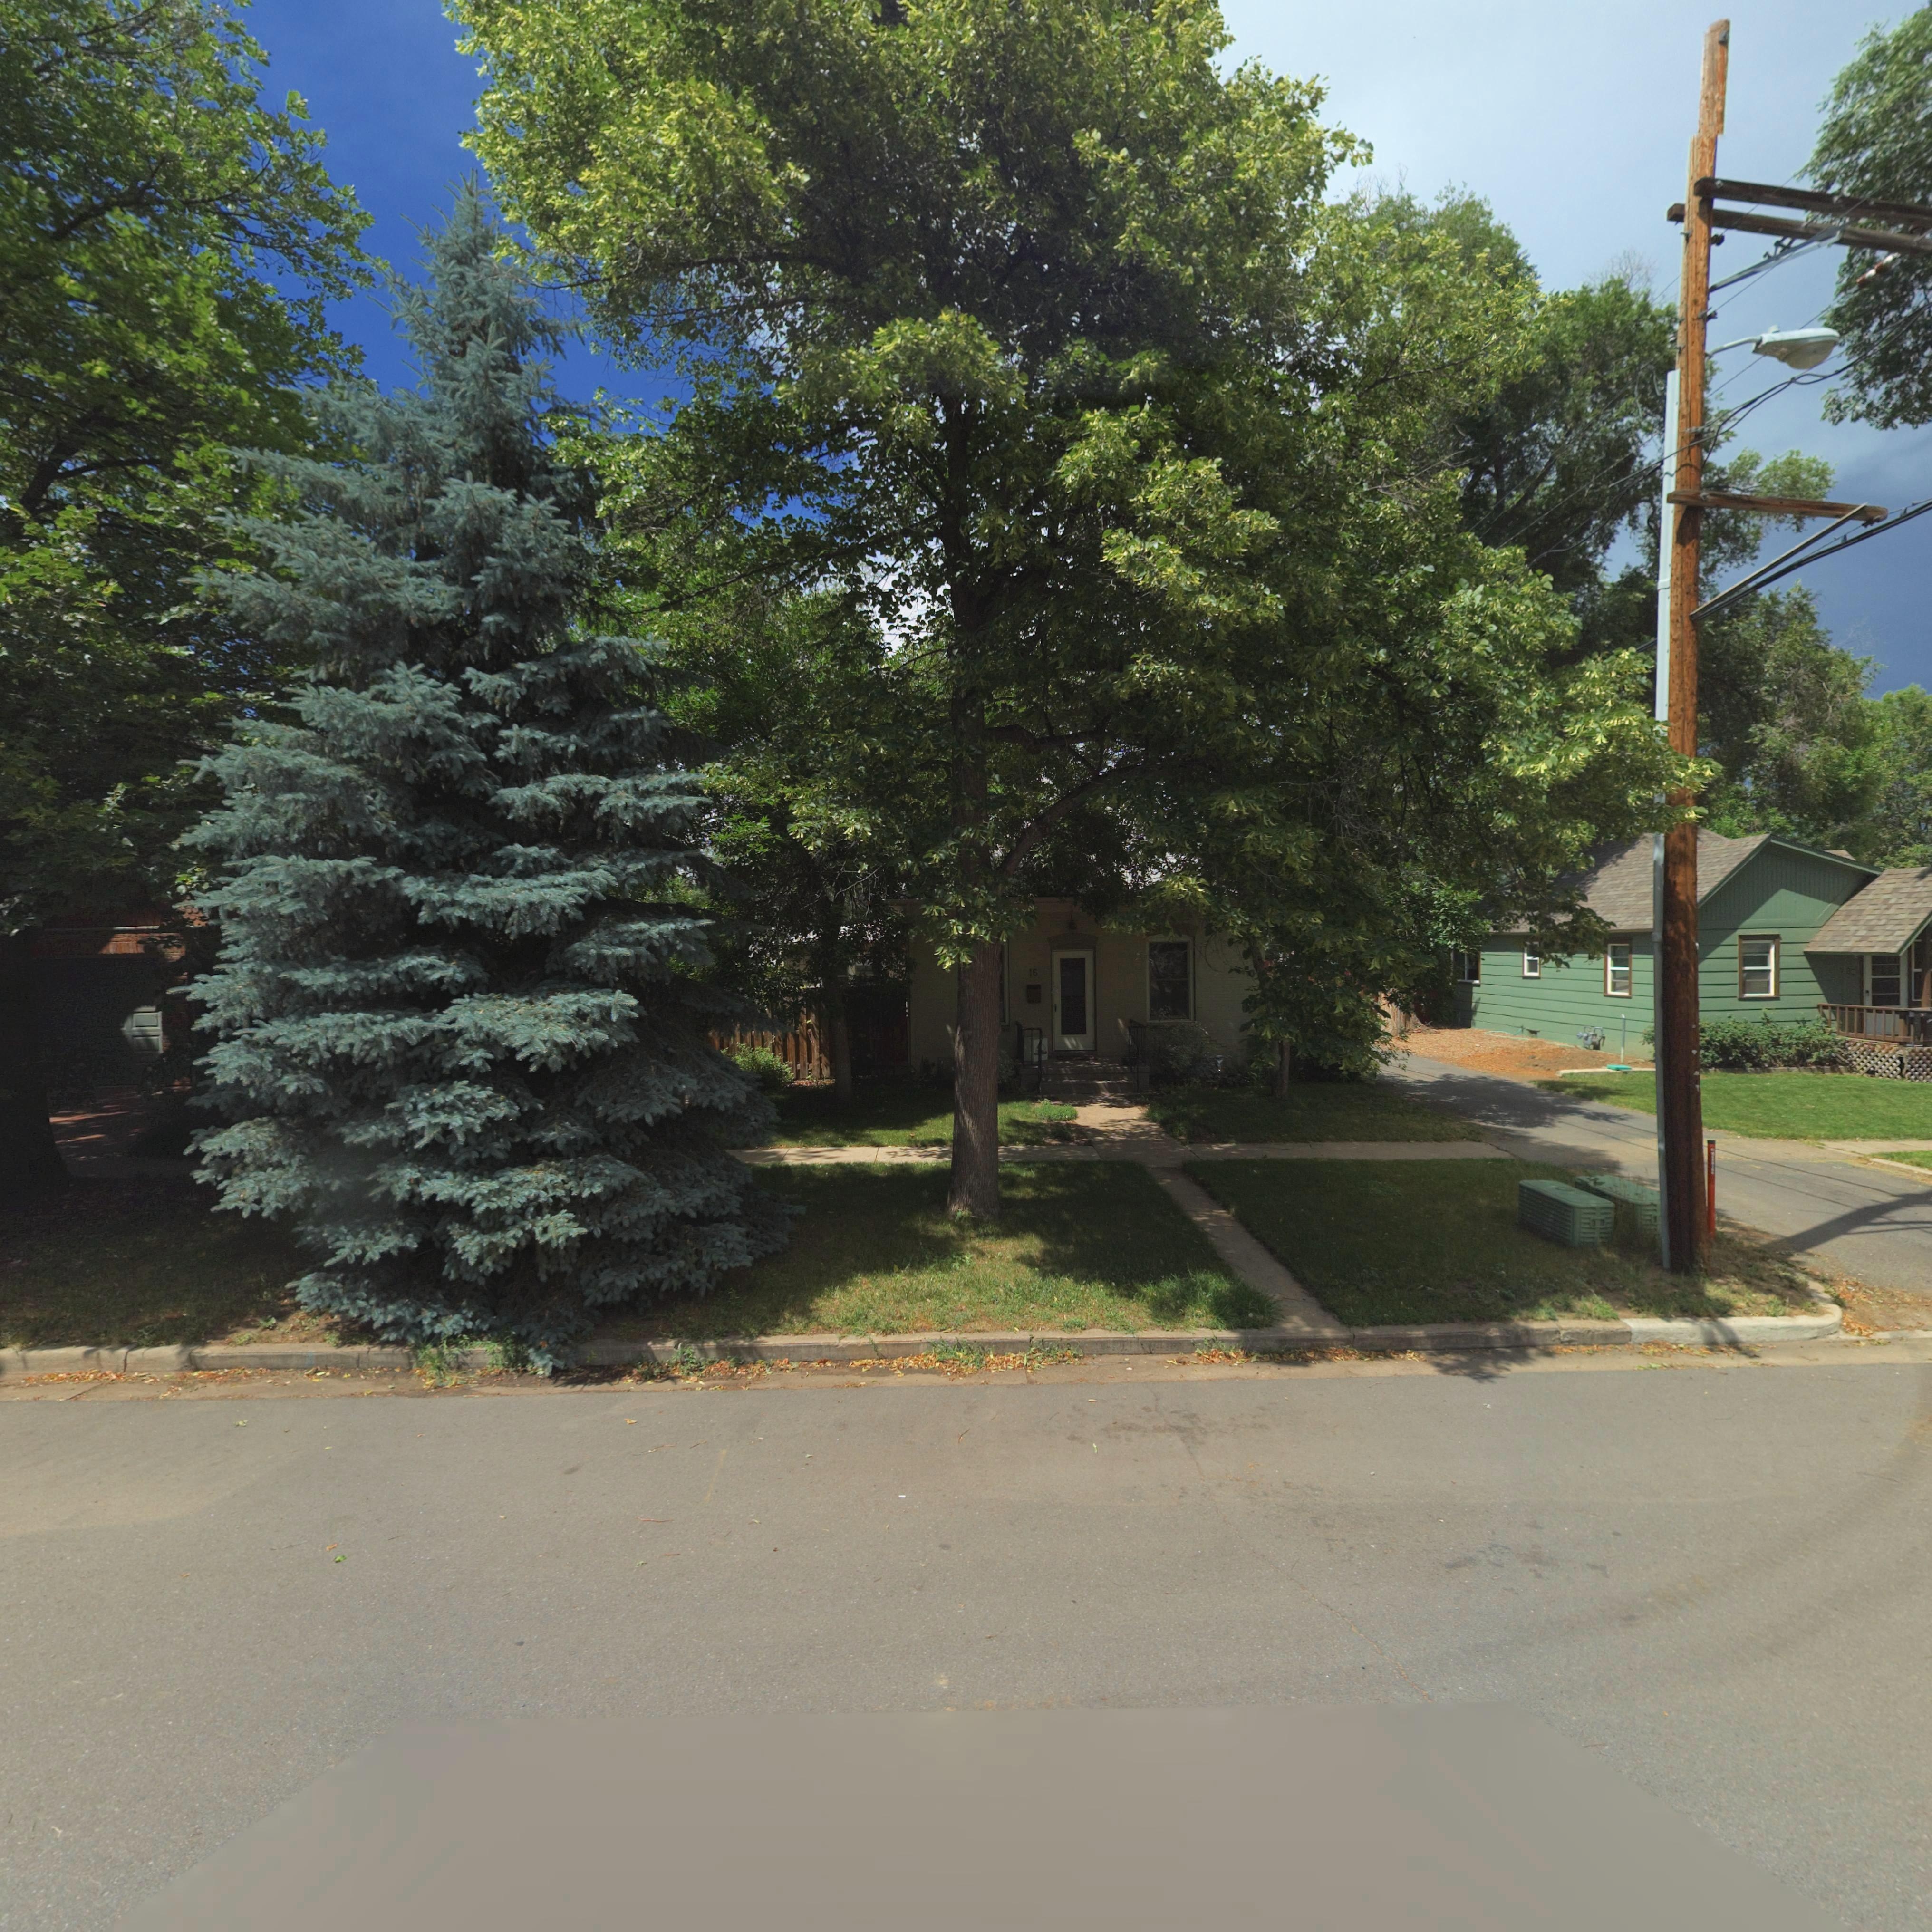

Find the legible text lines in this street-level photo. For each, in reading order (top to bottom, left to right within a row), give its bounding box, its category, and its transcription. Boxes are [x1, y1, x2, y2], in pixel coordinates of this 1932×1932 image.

[1028, 967, 1038, 976] StreetNumber: 16